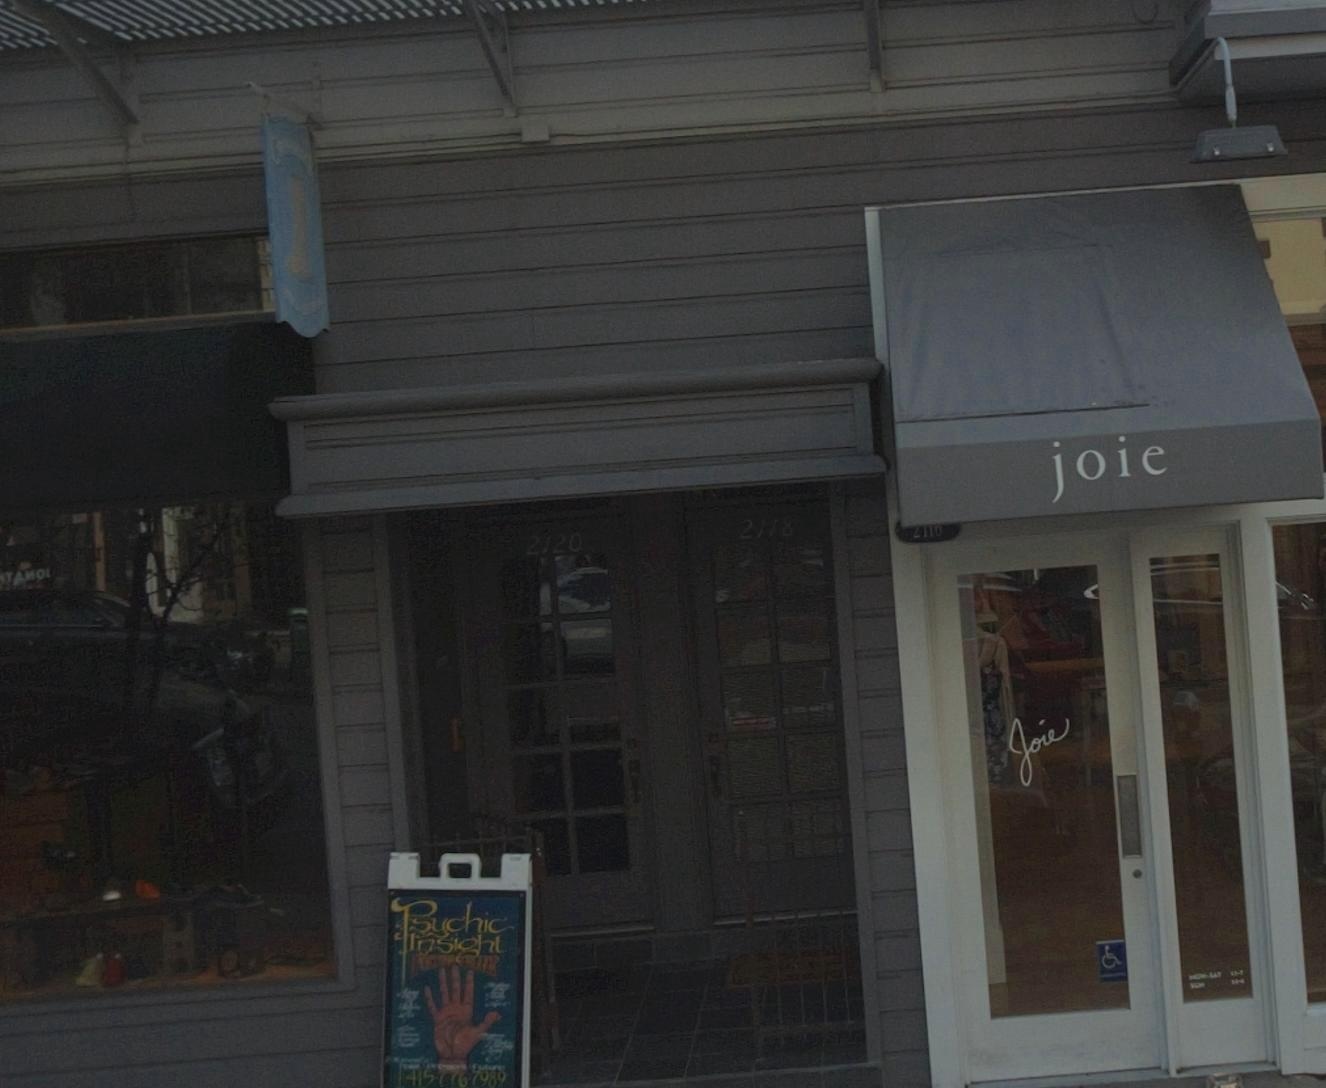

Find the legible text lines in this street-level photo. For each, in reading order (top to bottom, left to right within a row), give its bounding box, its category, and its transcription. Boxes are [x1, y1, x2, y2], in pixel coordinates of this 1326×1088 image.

[1046, 433, 1171, 508] BusinessName: joie
[523, 529, 584, 558] StreetNumber: 2120
[737, 512, 797, 543] StreetNumber: 2118
[3, 564, 54, 590] None: TAMO*
[1003, 711, 1073, 791] BusinessName: Joie
[387, 892, 518, 942] None: Psychic
[406, 929, 509, 968] None: Insight